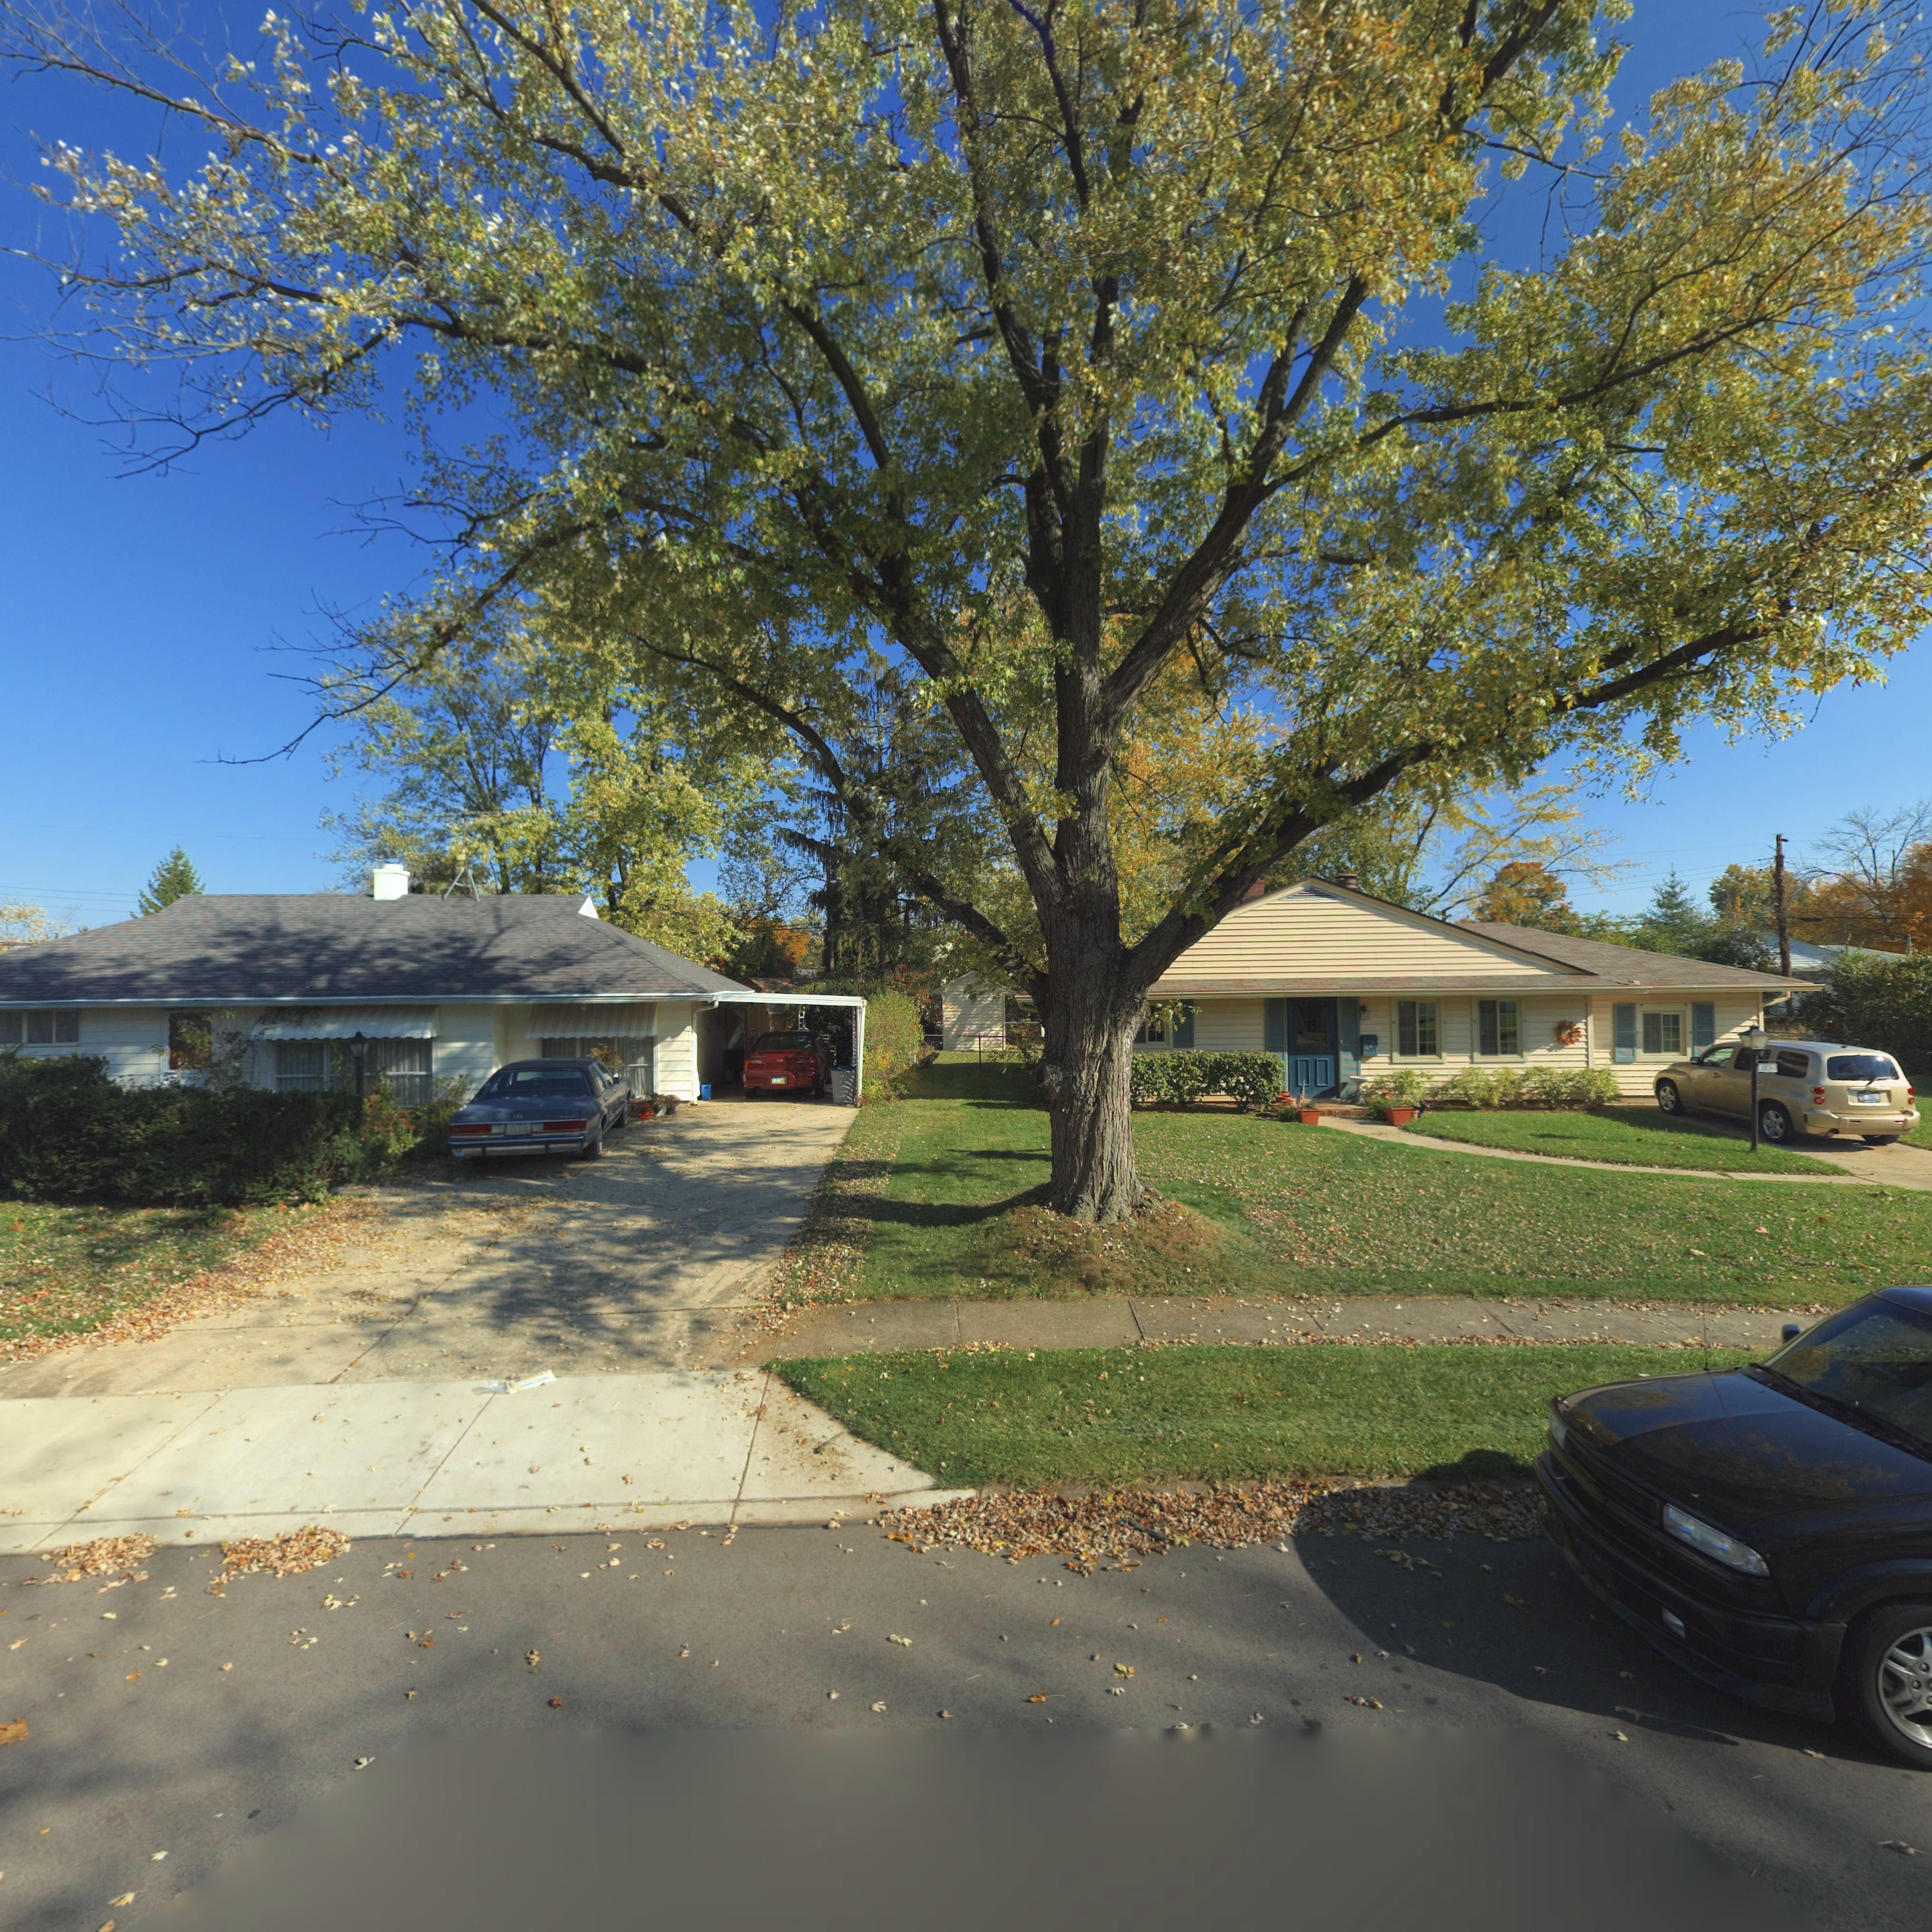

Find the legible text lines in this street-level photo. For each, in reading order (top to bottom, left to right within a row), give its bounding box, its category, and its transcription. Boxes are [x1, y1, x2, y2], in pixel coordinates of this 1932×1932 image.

[508, 1125, 529, 1132] None: CFM 6244